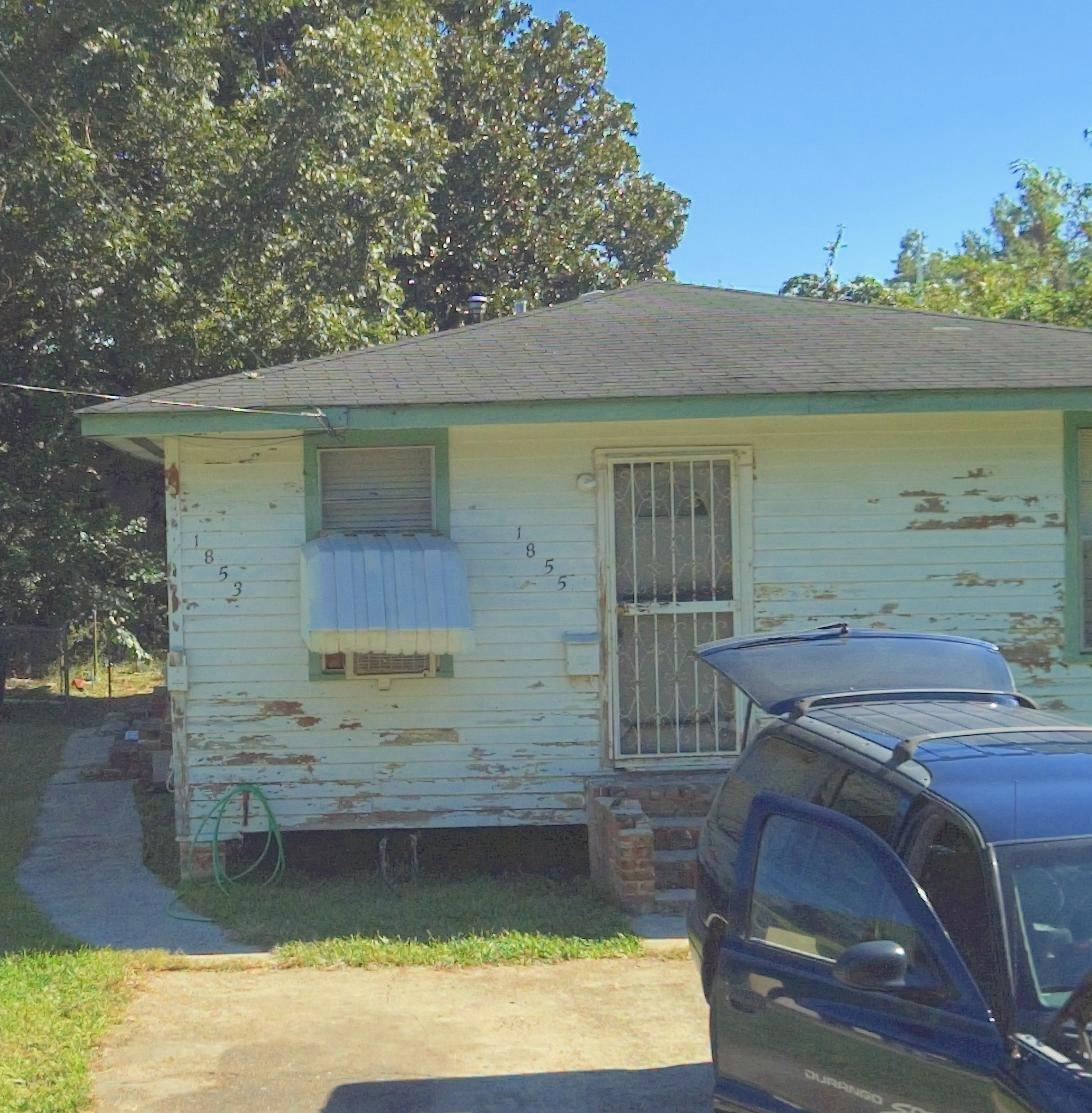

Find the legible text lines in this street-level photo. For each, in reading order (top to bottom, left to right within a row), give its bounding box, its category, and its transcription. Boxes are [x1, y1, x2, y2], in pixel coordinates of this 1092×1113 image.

[514, 525, 570, 594] StreetNumber: 1855